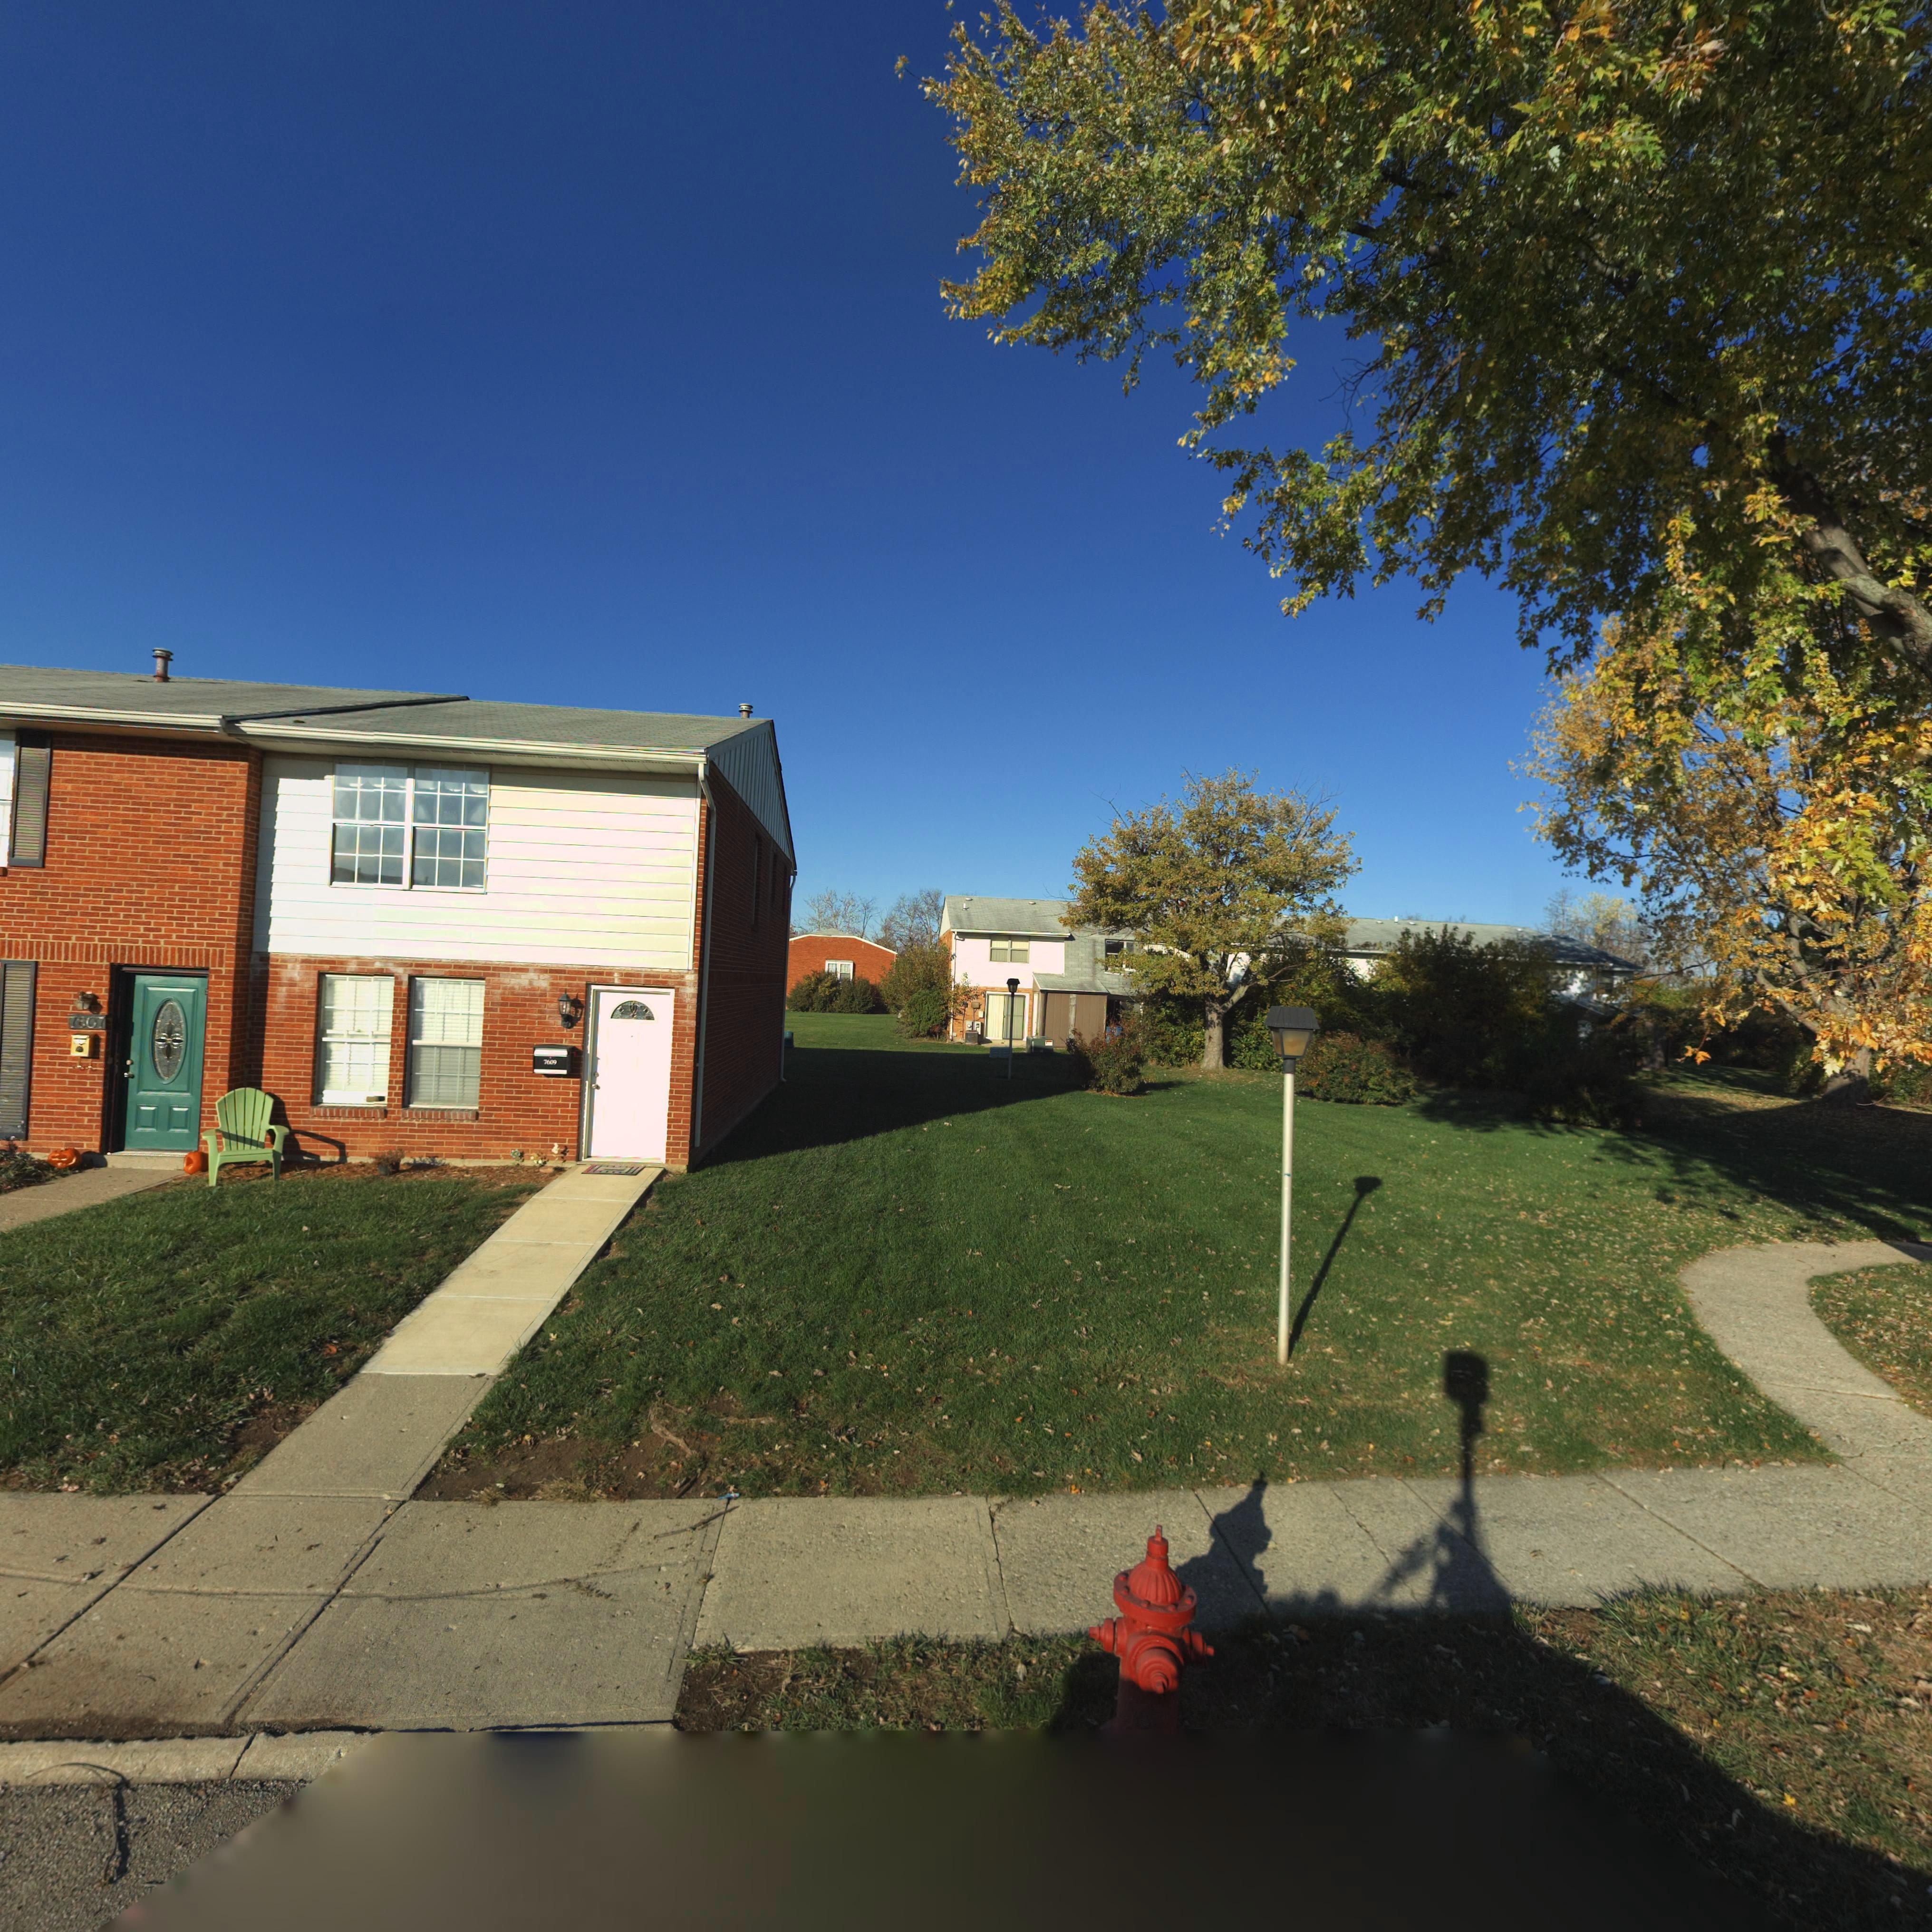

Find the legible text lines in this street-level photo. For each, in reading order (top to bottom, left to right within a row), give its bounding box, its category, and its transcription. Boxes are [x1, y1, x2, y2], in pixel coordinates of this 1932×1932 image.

[67, 1014, 107, 1029] StreetNumber: 7607
[542, 1059, 558, 1065] StreetNumber: 7609